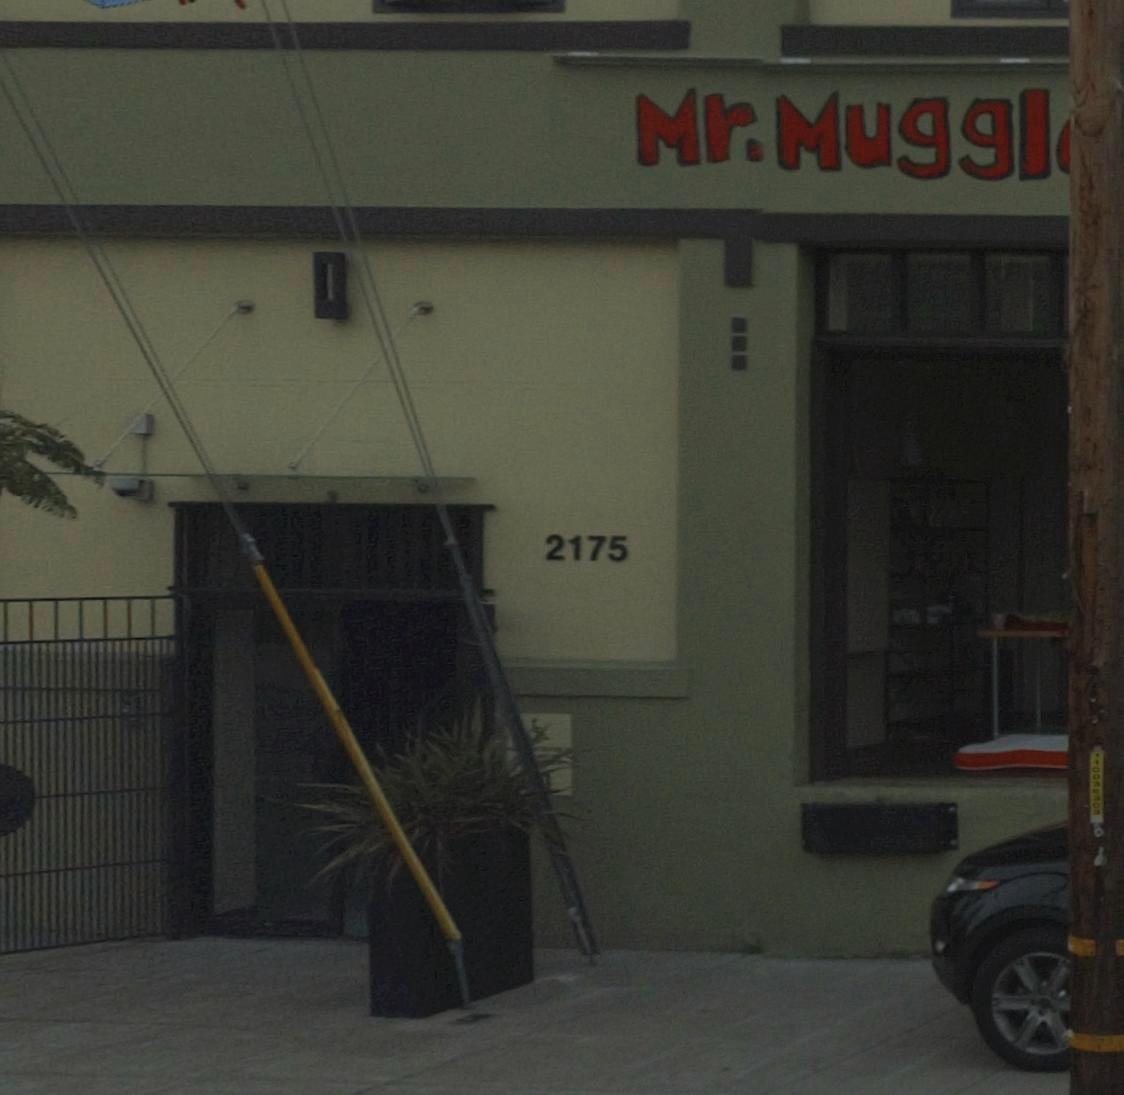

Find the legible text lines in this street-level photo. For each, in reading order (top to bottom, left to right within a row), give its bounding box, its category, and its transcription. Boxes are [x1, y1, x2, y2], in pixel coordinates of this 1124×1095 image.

[631, 84, 1058, 185] BusinessName: Mr. Muggl
[543, 533, 632, 564] StreetNumber: 2175
[1091, 752, 1103, 816] None: 110036*0*